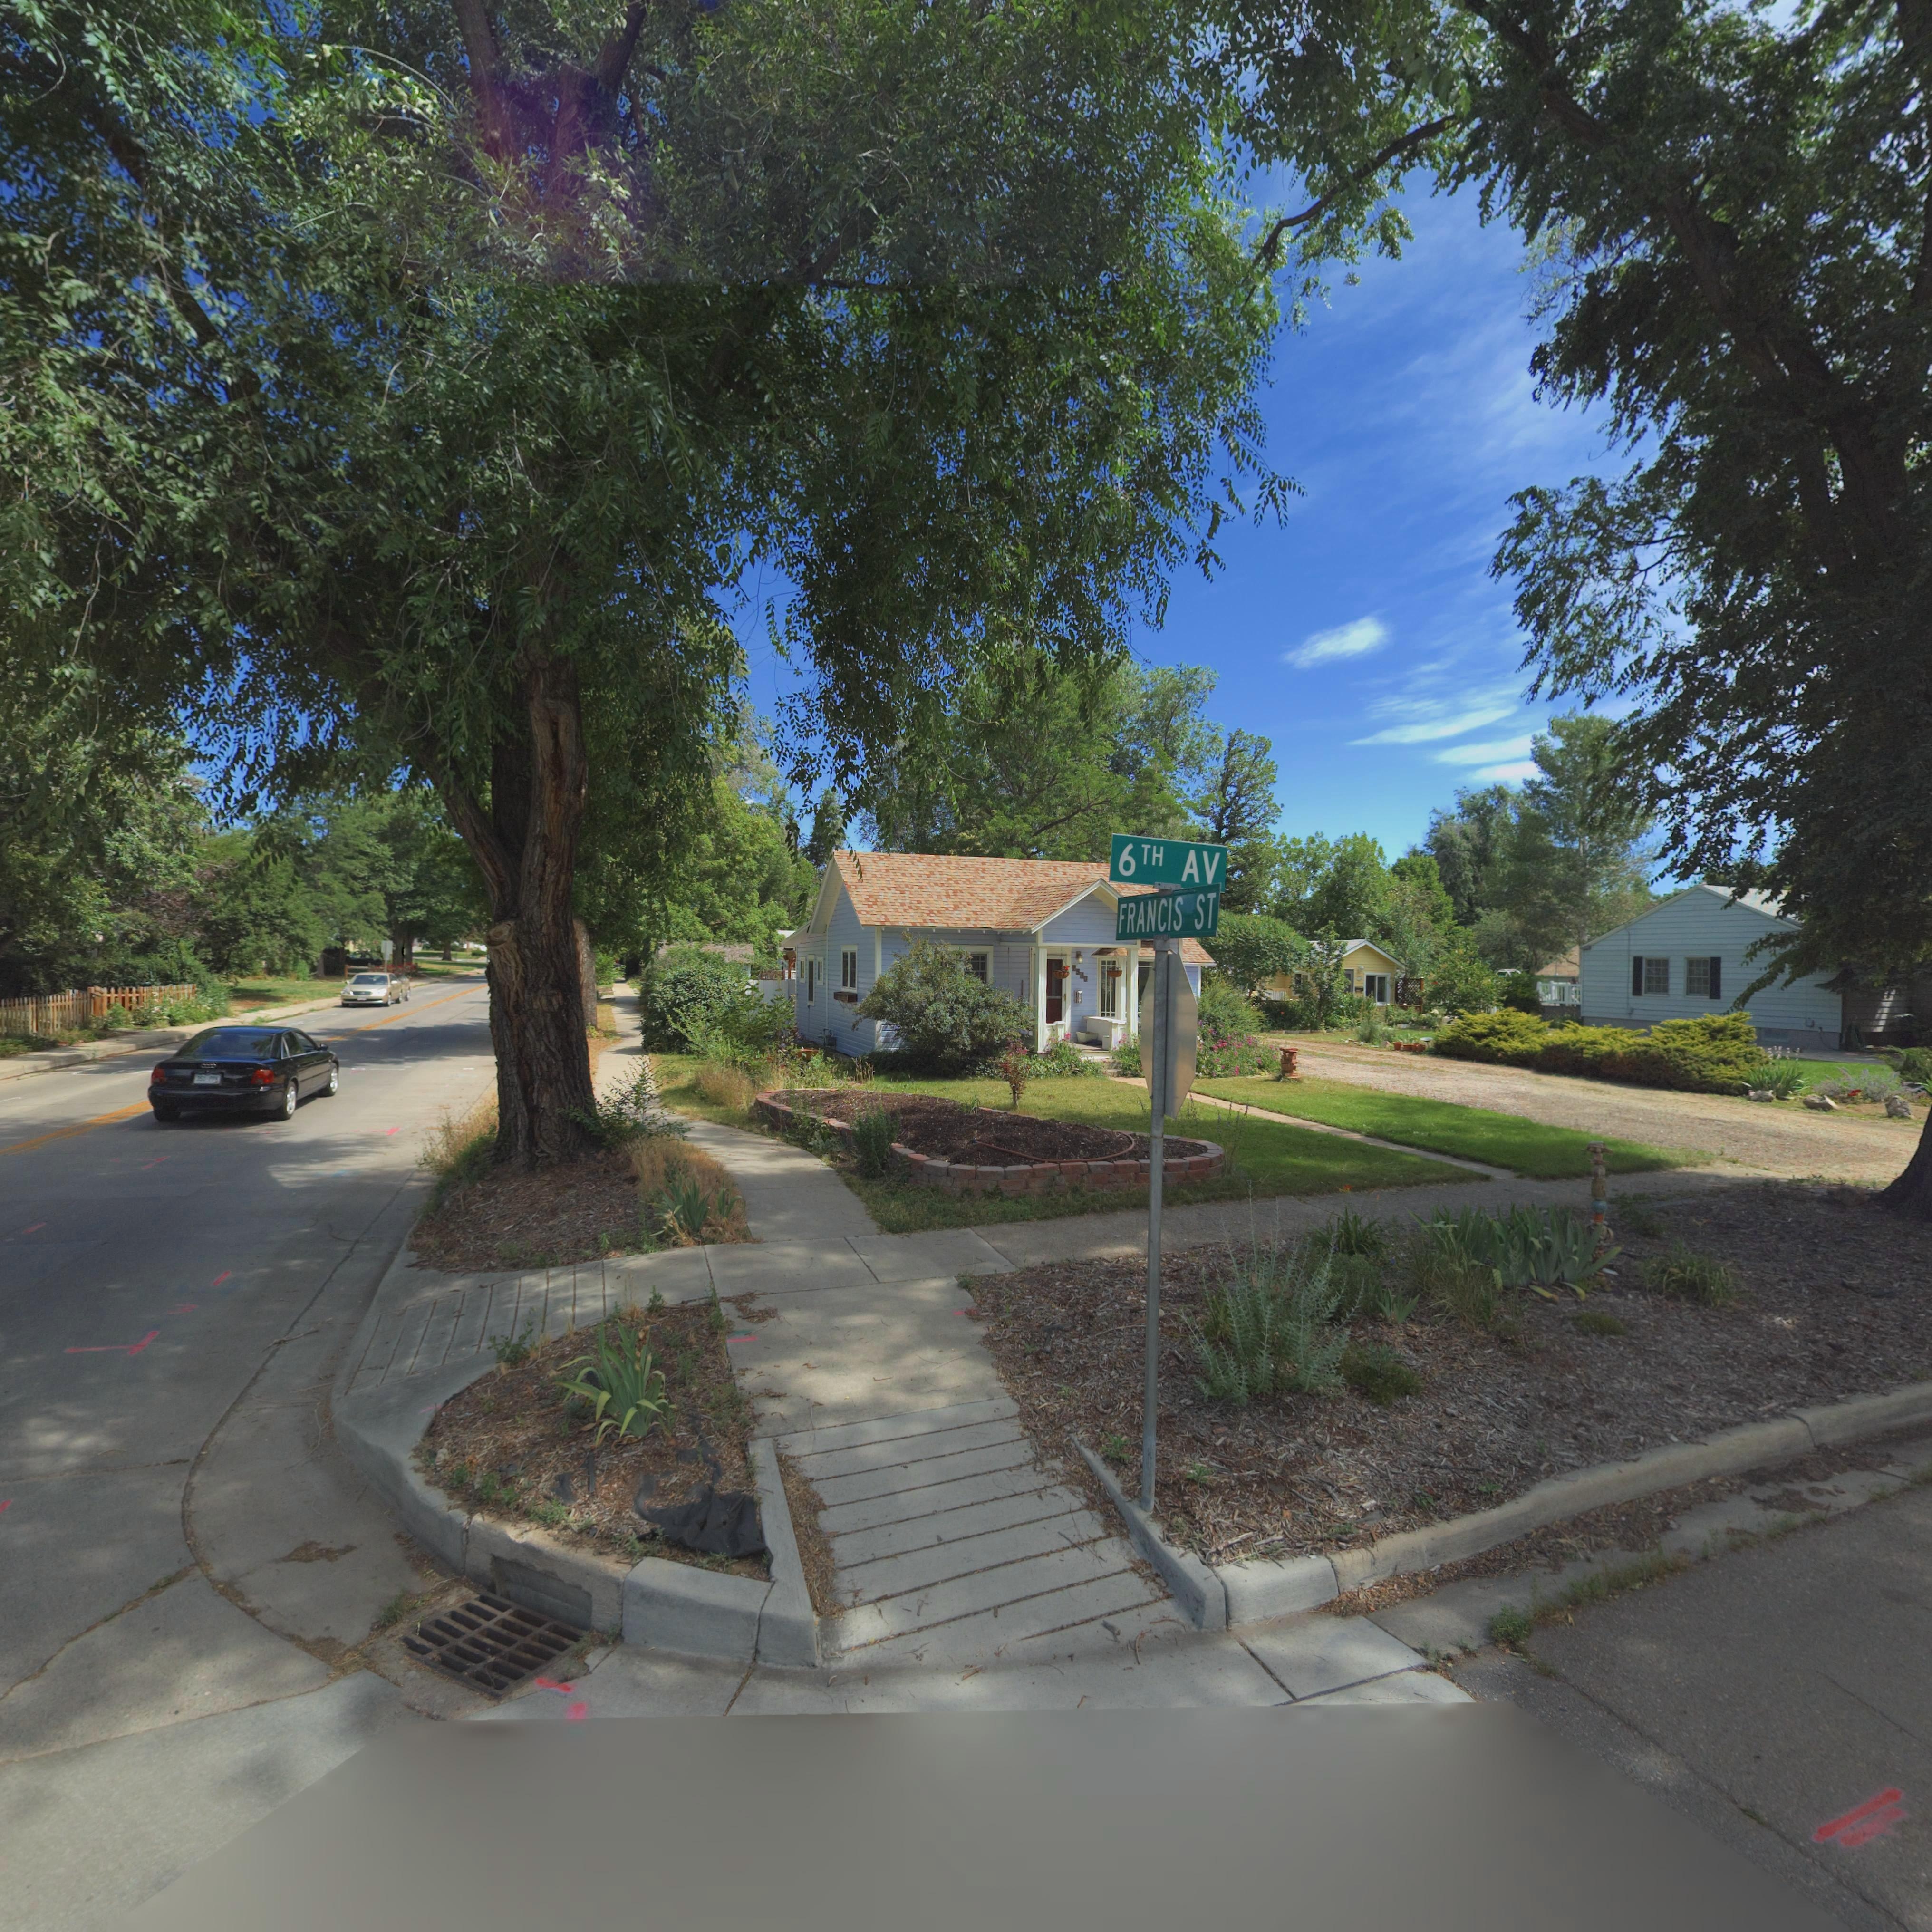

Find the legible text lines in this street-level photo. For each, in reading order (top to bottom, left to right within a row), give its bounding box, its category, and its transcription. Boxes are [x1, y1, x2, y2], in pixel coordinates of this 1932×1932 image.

[1118, 842, 1220, 884] StreetName: 6TH AV
[1118, 892, 1216, 933] StreetName: FRANCIS ST
[1073, 965, 1087, 981] StreetNumber: 1**0